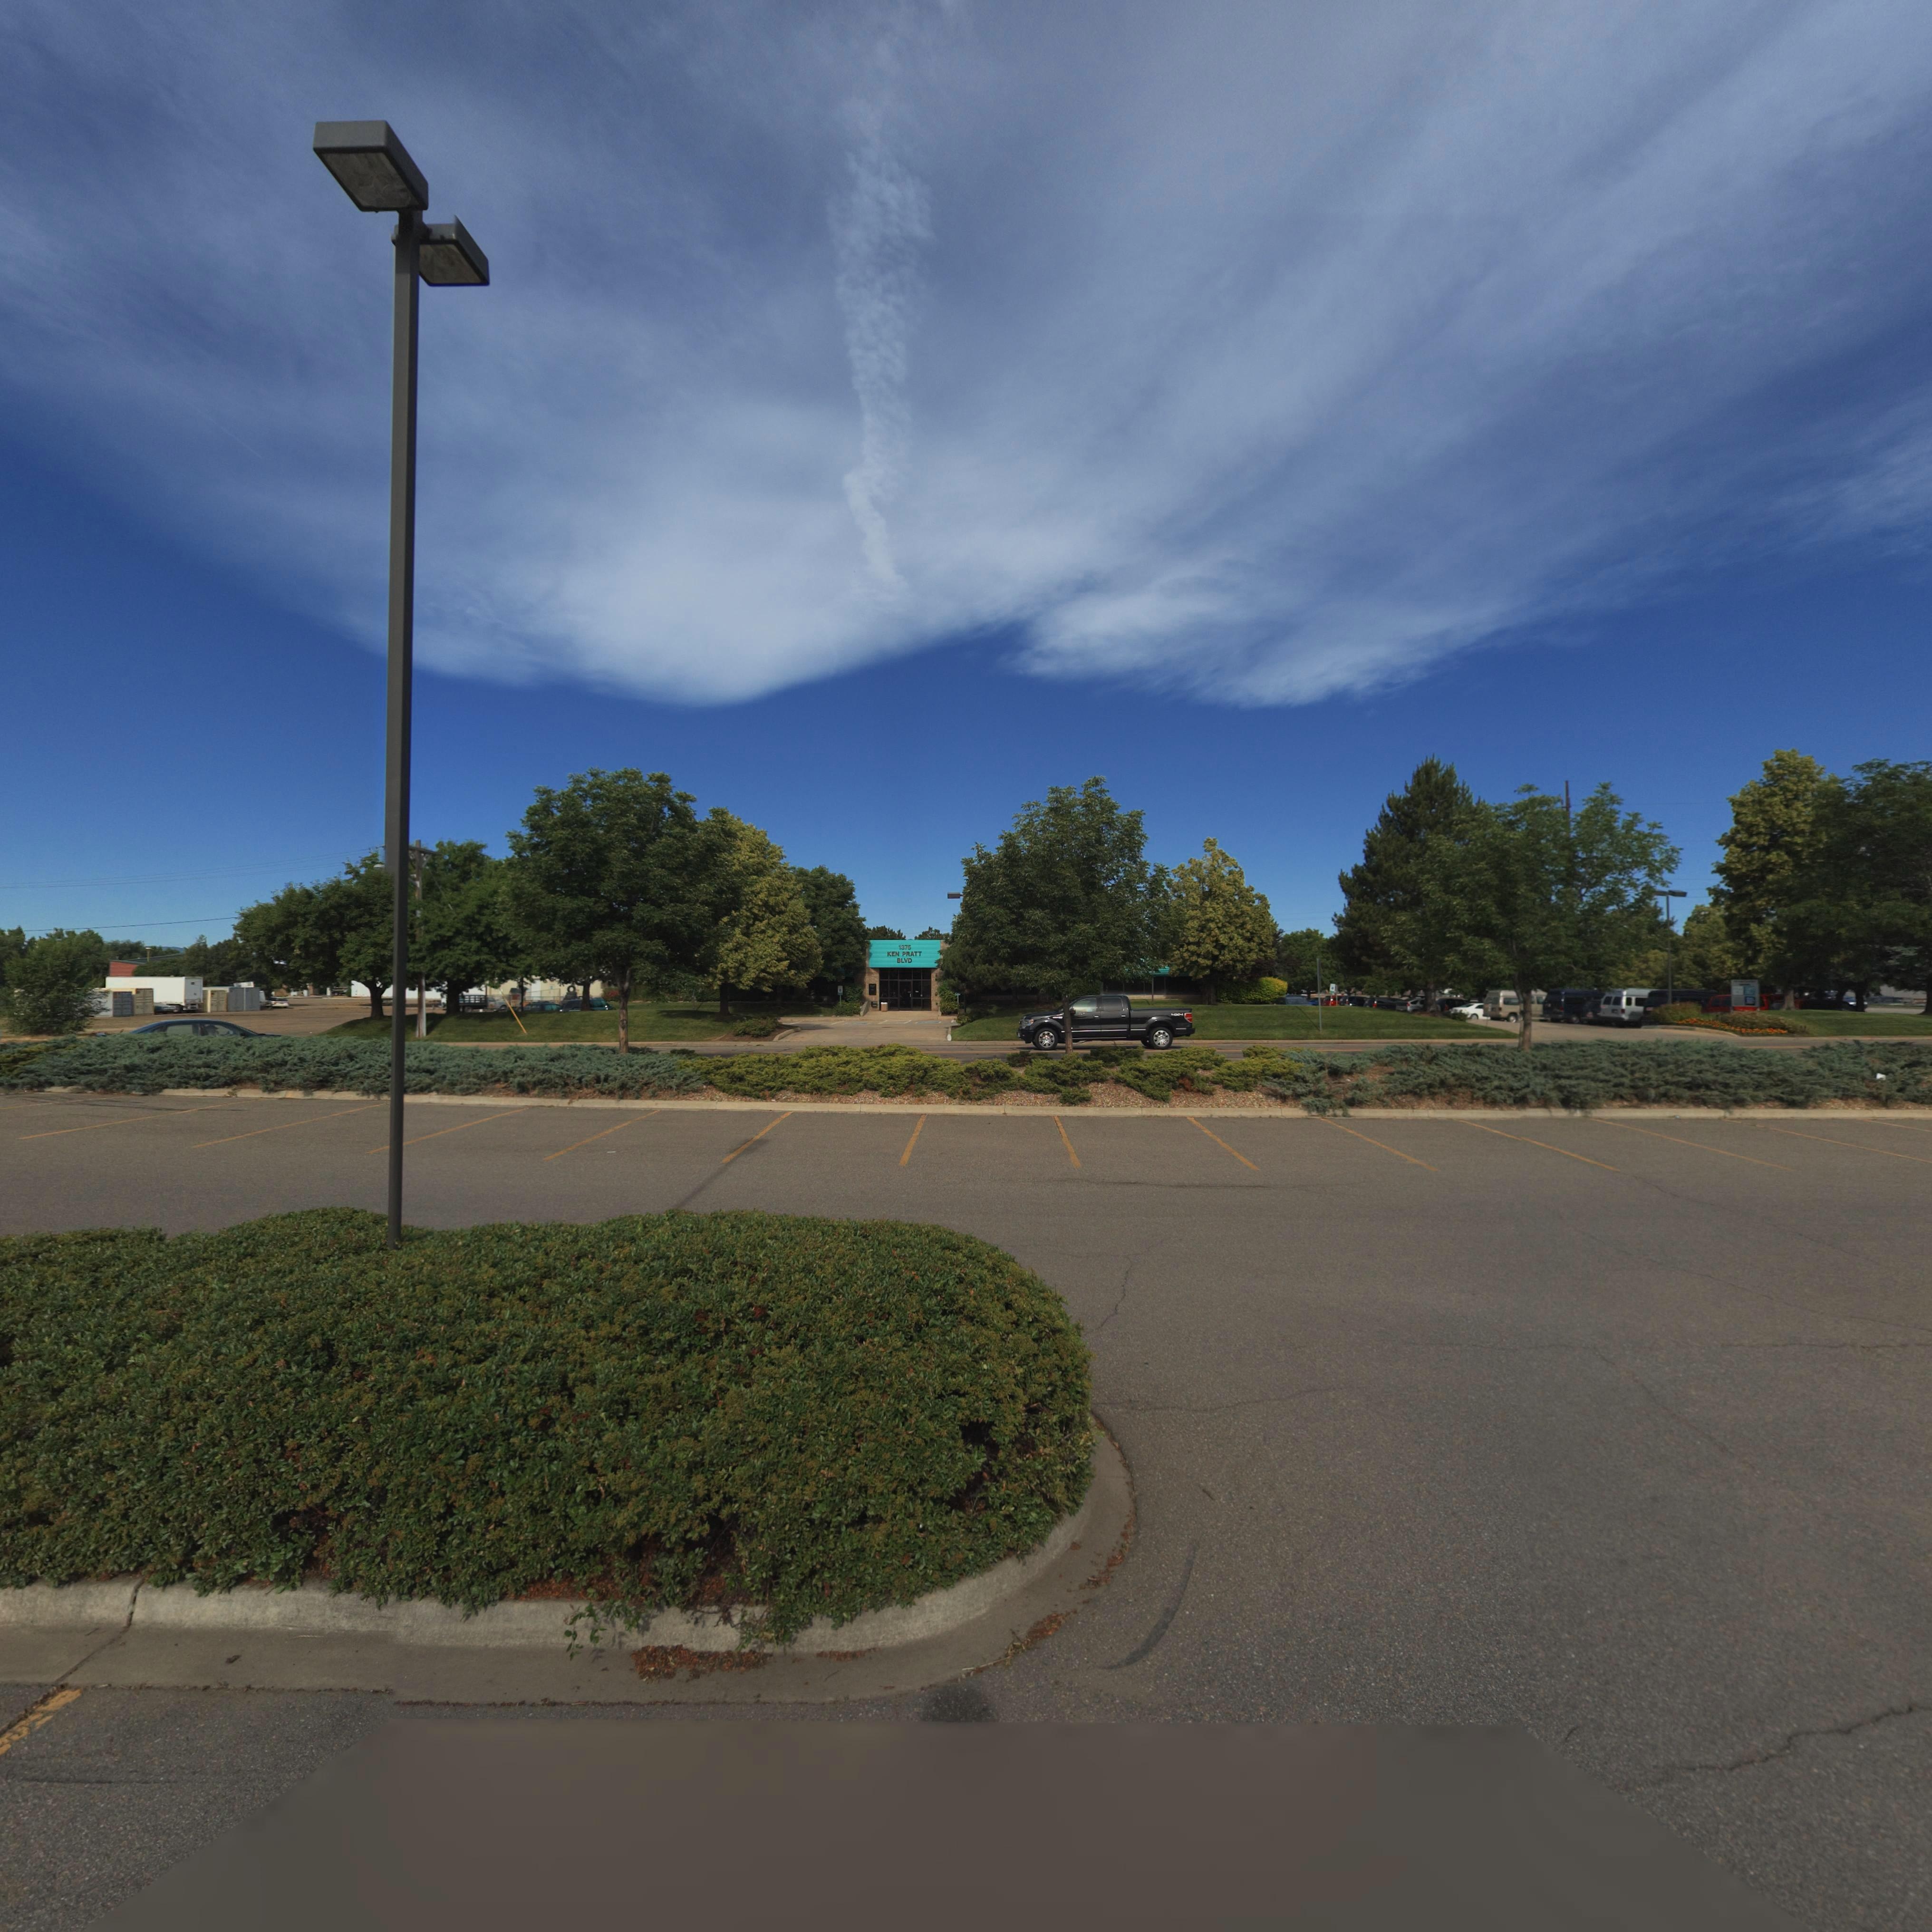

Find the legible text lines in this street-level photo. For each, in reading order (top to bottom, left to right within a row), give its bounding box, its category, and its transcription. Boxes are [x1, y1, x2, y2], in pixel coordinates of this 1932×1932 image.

[898, 944, 911, 950] StreetNumber: 1375
[887, 951, 922, 956] StreetName: KEN PRATT
[897, 958, 912, 963] StreetName: BLVD